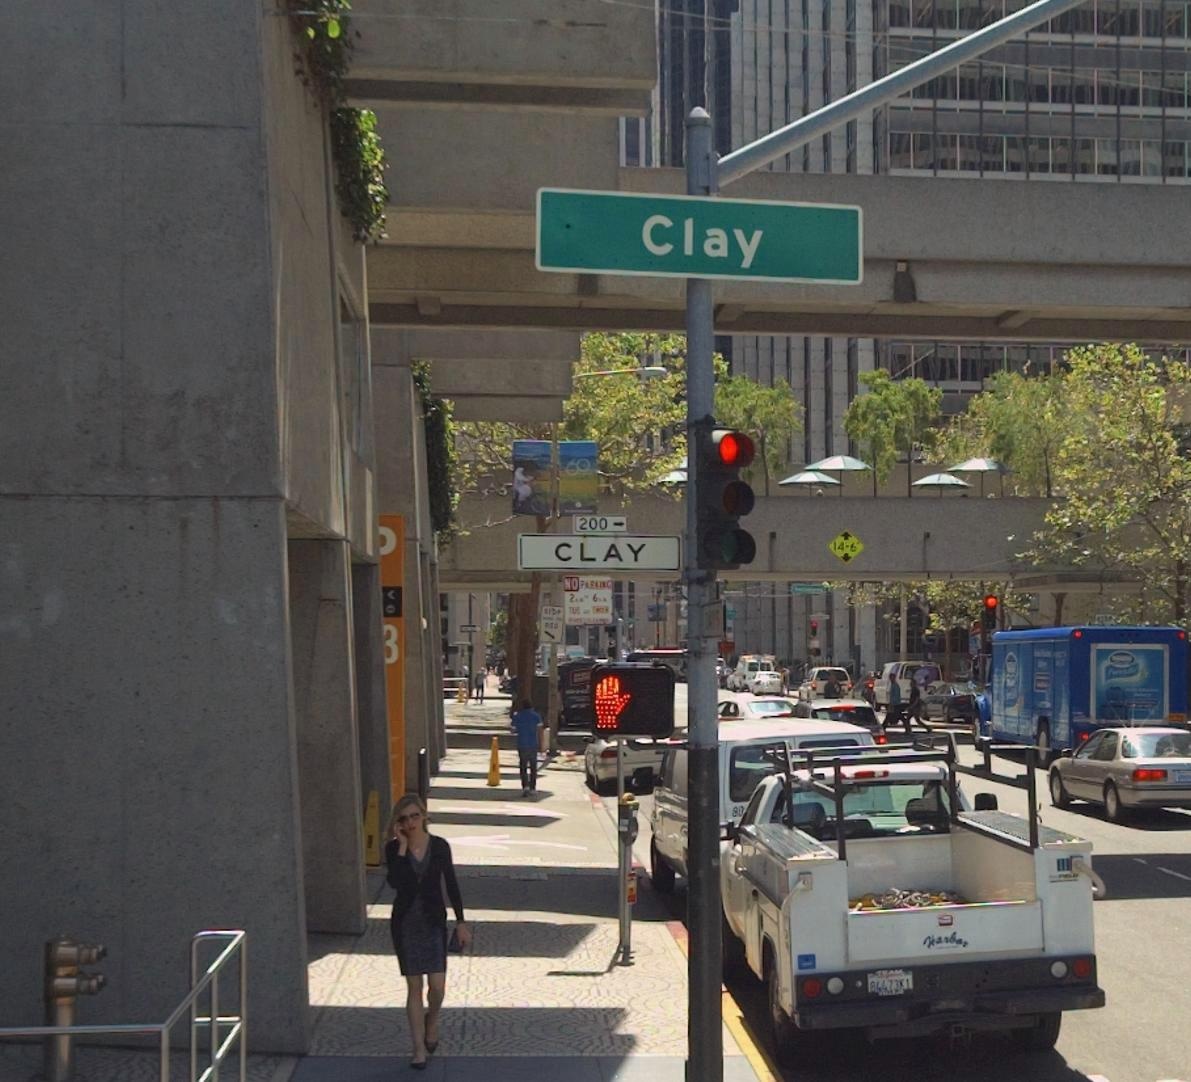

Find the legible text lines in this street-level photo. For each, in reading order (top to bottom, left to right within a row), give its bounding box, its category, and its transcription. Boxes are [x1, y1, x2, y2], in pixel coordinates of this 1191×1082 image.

[638, 209, 769, 271] StreetName: Clay
[564, 455, 591, 476] None: 60
[579, 517, 625, 532] StreetNumberRange: 200->
[553, 541, 647, 565] StreetName: CLAY
[833, 539, 861, 552] None: 14*-6*
[564, 576, 611, 590] None: NO PARKING
[569, 593, 577, 603] None: 2
[591, 592, 598, 602] None: 6
[920, 932, 943, 951] None: Ha
[886, 978, 900, 992] None: 73